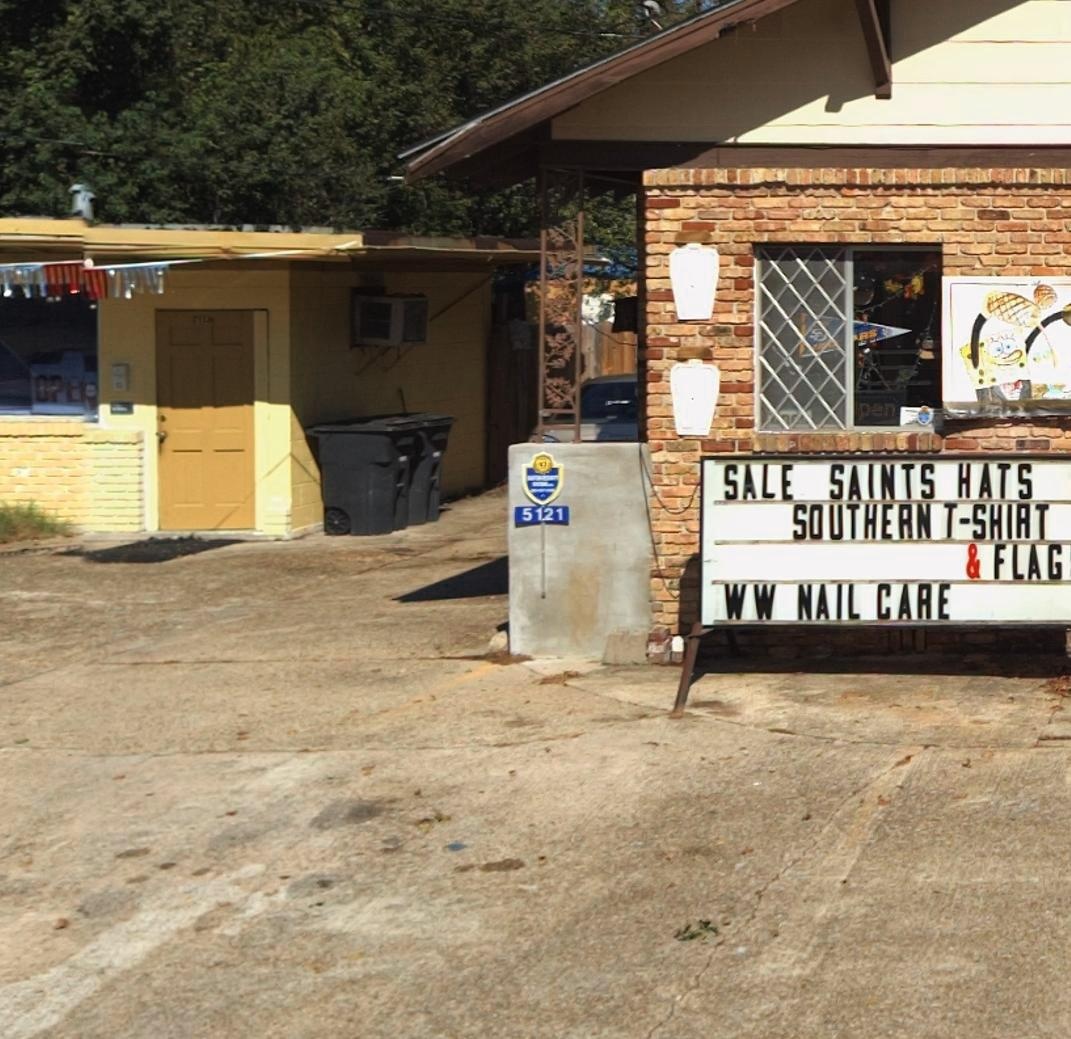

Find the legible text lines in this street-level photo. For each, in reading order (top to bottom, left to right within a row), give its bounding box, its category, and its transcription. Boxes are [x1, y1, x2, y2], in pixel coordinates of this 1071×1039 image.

[858, 328, 878, 342] None: RS
[34, 374, 64, 404] None: OP
[857, 402, 897, 422] None: pen
[724, 462, 1033, 500] None: SALE SAINTS HATS
[522, 507, 563, 522] StreetNumber: 5121
[792, 502, 1050, 541] None: SOUTHERN T-SHIRT
[993, 542, 1063, 582] None: FLAG
[722, 582, 951, 621] None: WW NAIL CARE